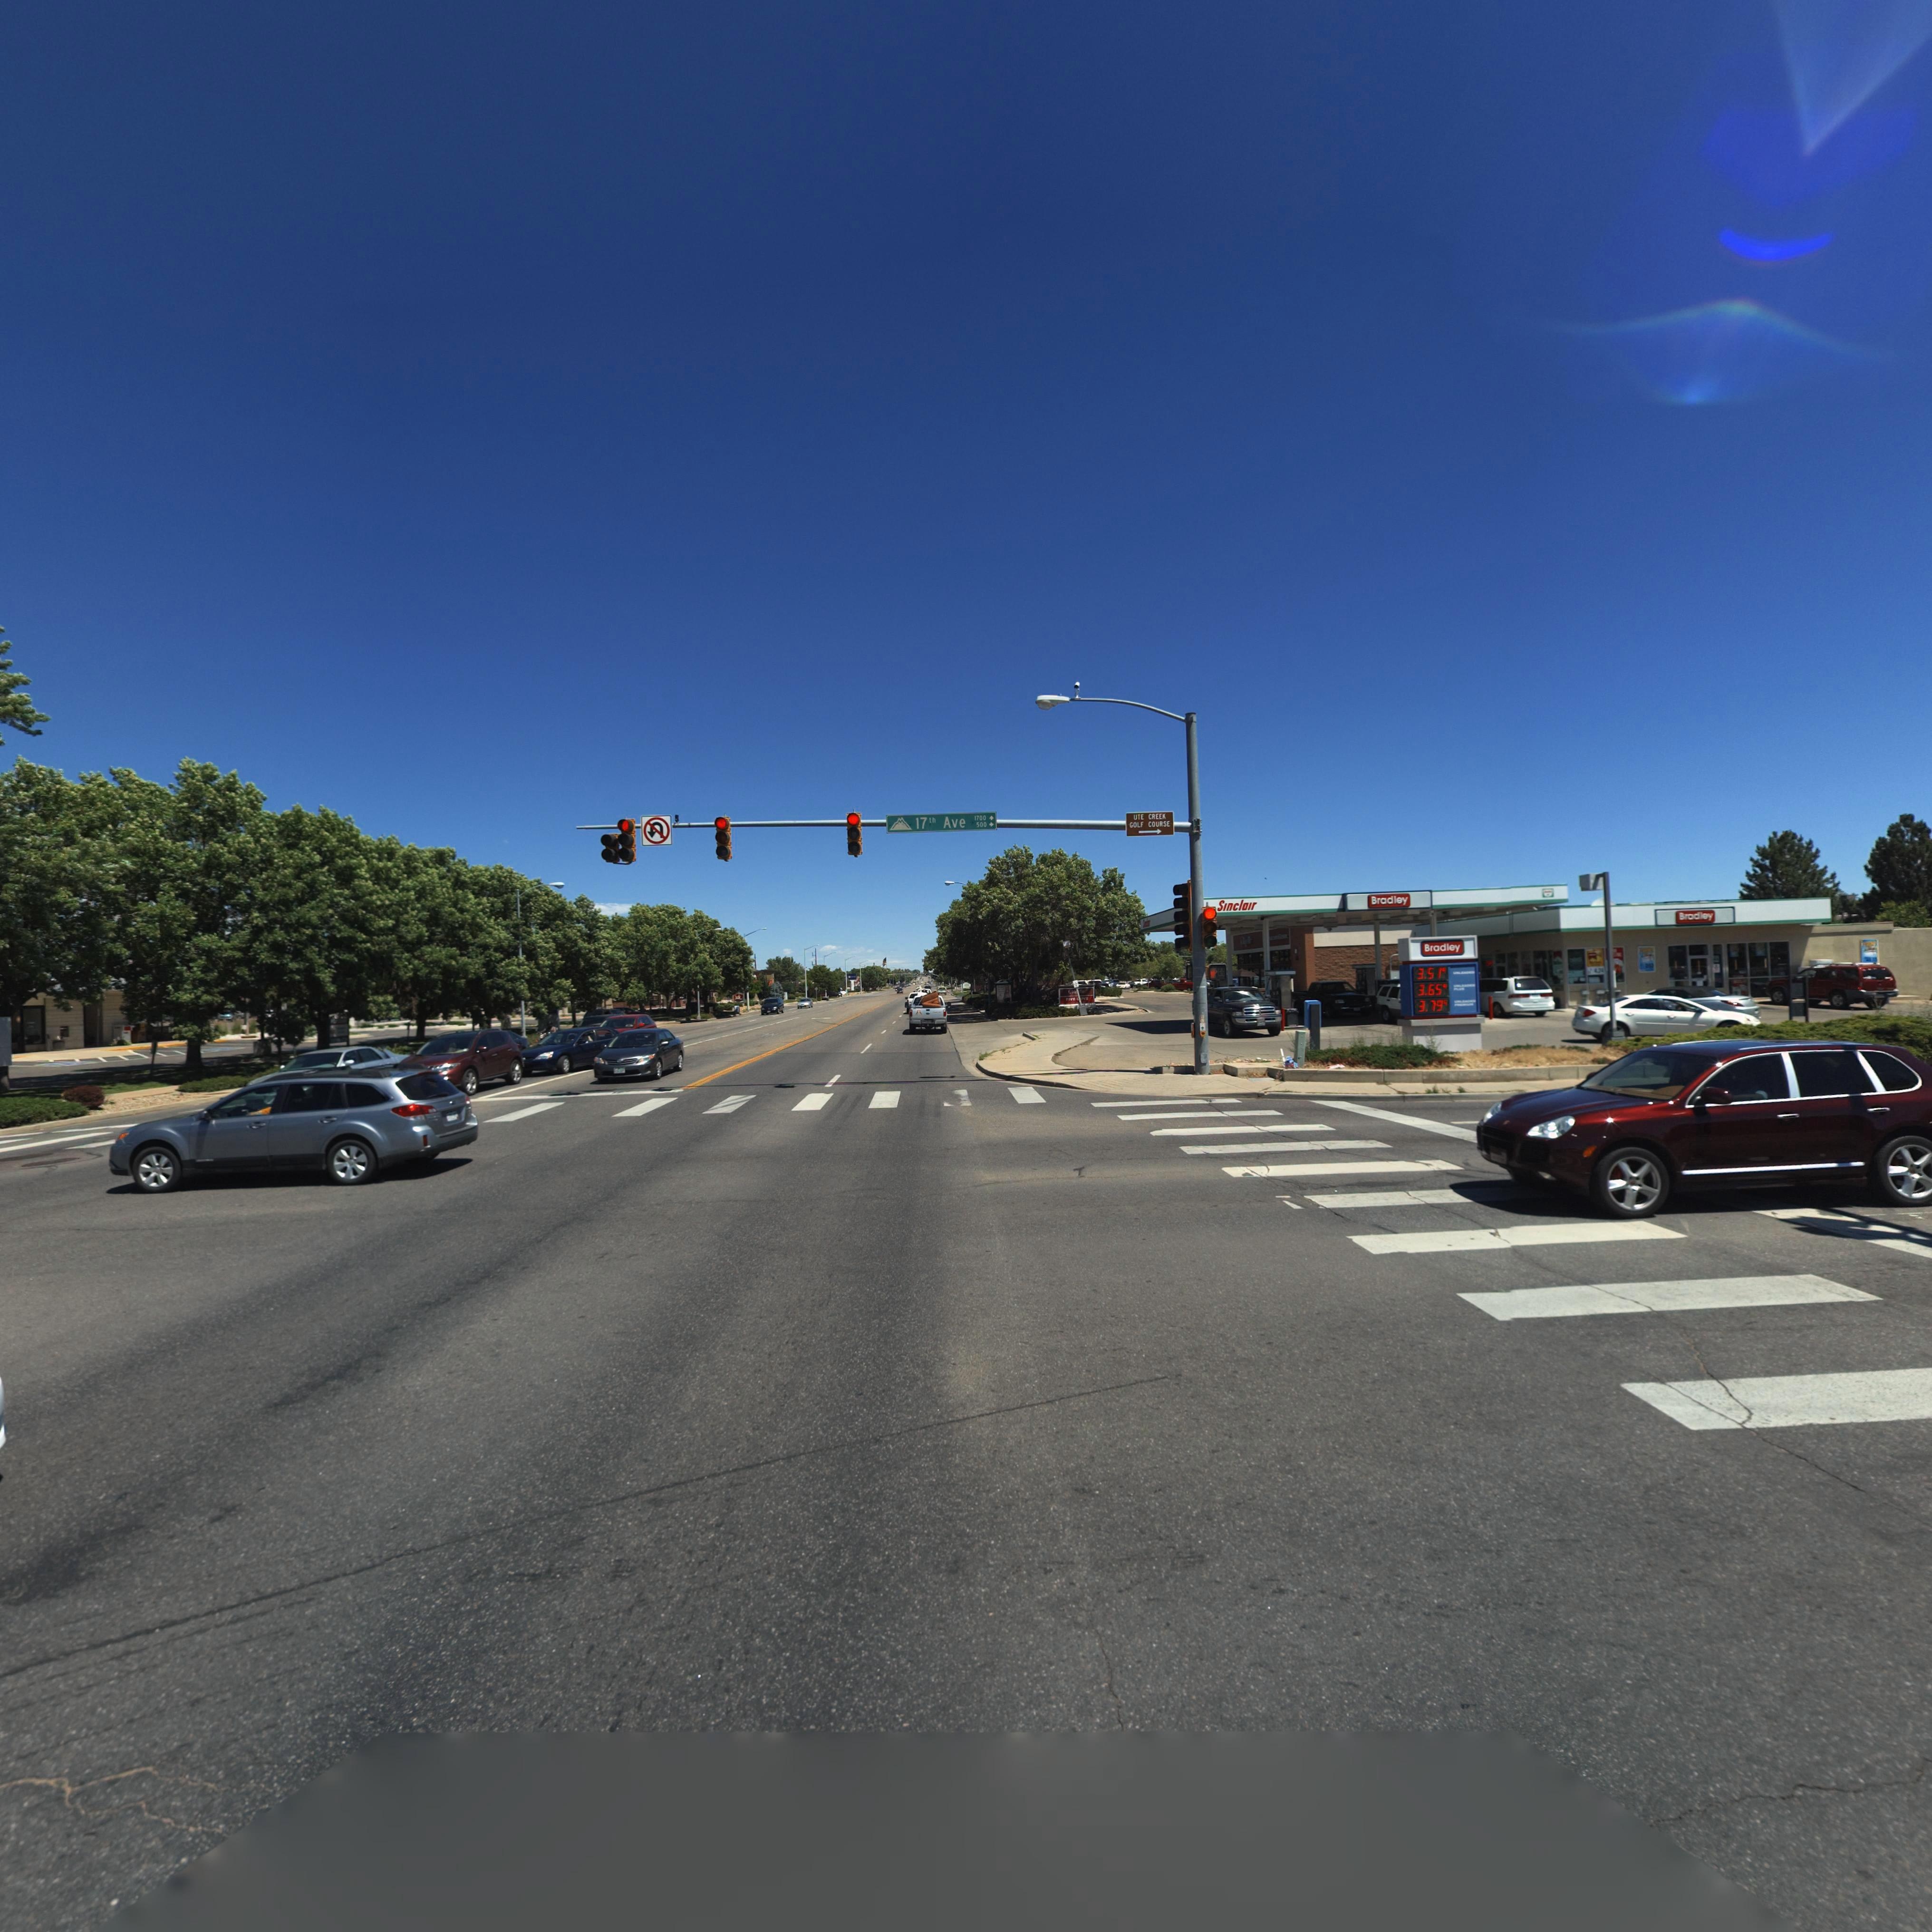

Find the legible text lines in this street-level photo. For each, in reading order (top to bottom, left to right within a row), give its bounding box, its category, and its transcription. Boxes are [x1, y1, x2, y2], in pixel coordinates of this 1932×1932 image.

[915, 815, 966, 829] StreetName: 17th Ave
[974, 814, 986, 821] StreetNumberRange: 1700
[976, 821, 995, 828] StreetNumberRange: 500->
[1216, 899, 1257, 911] BusinessName: Sinclair
[1371, 895, 1409, 906] BusinessName: Bradley
[1679, 911, 1714, 921] BusinessName: Bradley
[1142, 917, 1151, 928] BusinessName: Sinclair
[1239, 935, 1253, 947] BusinessName: Chipotle
[1269, 933, 1289, 941] BusinessName: ICAN GRILL
[1067, 988, 1085, 995] BusinessName: Chi**tle
[734, 994, 742, 1000] BusinessName: Jack
[1065, 997, 1088, 1001] BusinessName: FIVE GUYS